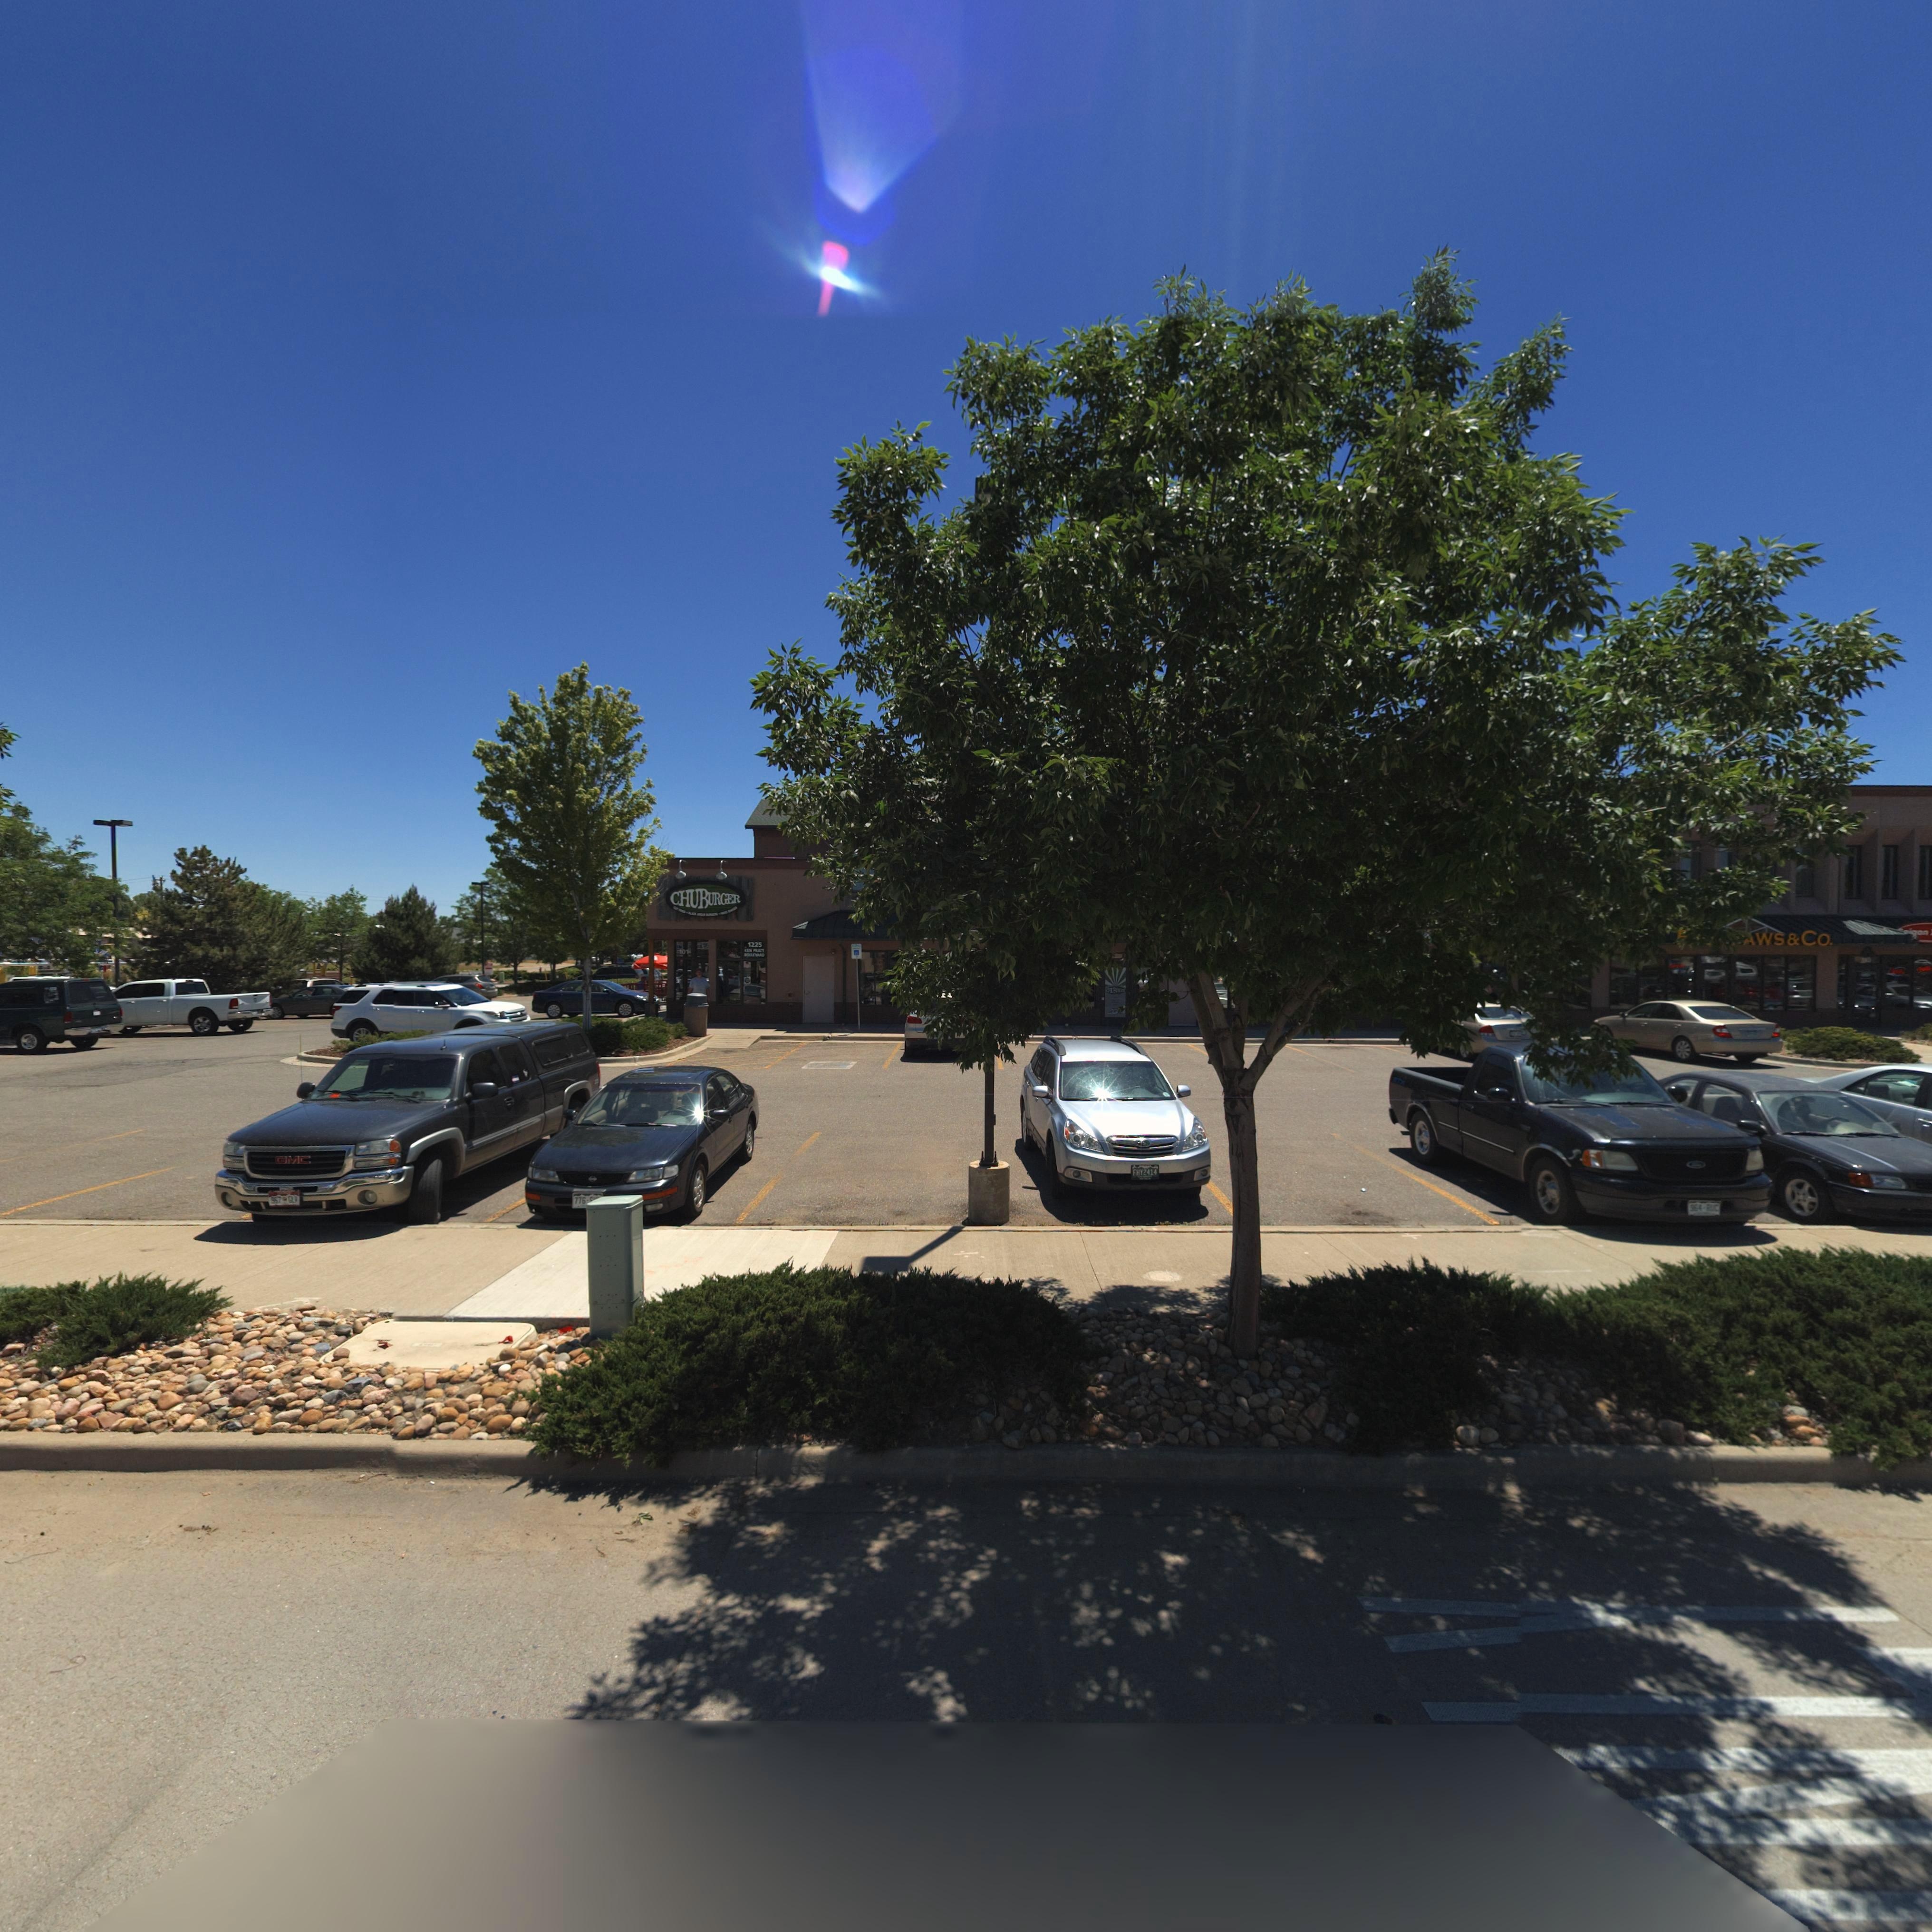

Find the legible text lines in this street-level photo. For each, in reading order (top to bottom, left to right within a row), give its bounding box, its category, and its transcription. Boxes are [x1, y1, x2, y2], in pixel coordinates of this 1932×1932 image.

[669, 888, 741, 909] BusinessName: CHUBURGER
[1739, 928, 1831, 946] BusinessName: AWS*CO
[1897, 927, 1929, 937] BusinessName: ***gon
[747, 941, 762, 947] StreetNumber: 1225
[679, 948, 688, 955] StreetNumber: 101
[744, 947, 765, 953] StreetName: KEN PRATT